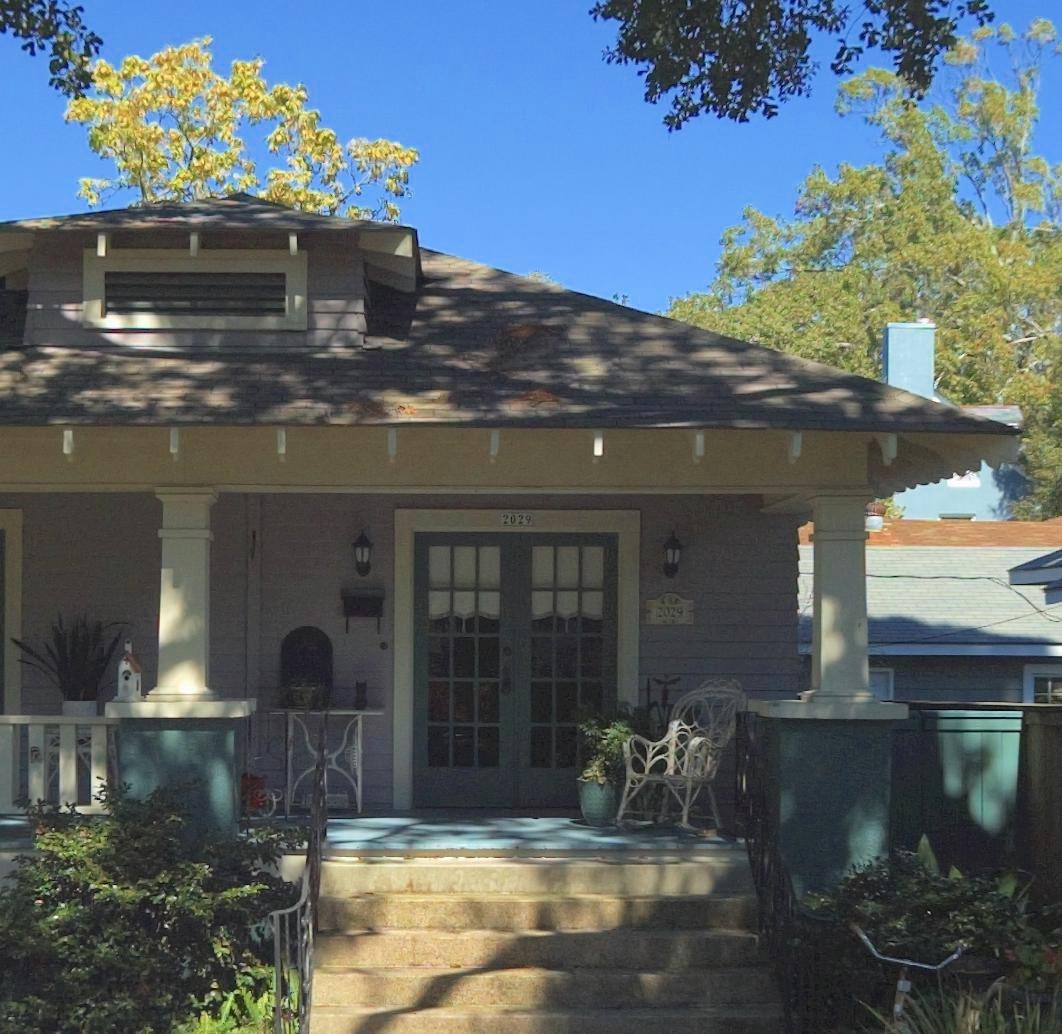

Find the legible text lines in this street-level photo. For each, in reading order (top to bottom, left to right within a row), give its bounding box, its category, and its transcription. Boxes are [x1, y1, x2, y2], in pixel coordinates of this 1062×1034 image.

[500, 512, 534, 527] StreetNumber: 2029
[655, 605, 685, 620] StreetNumber: 2029